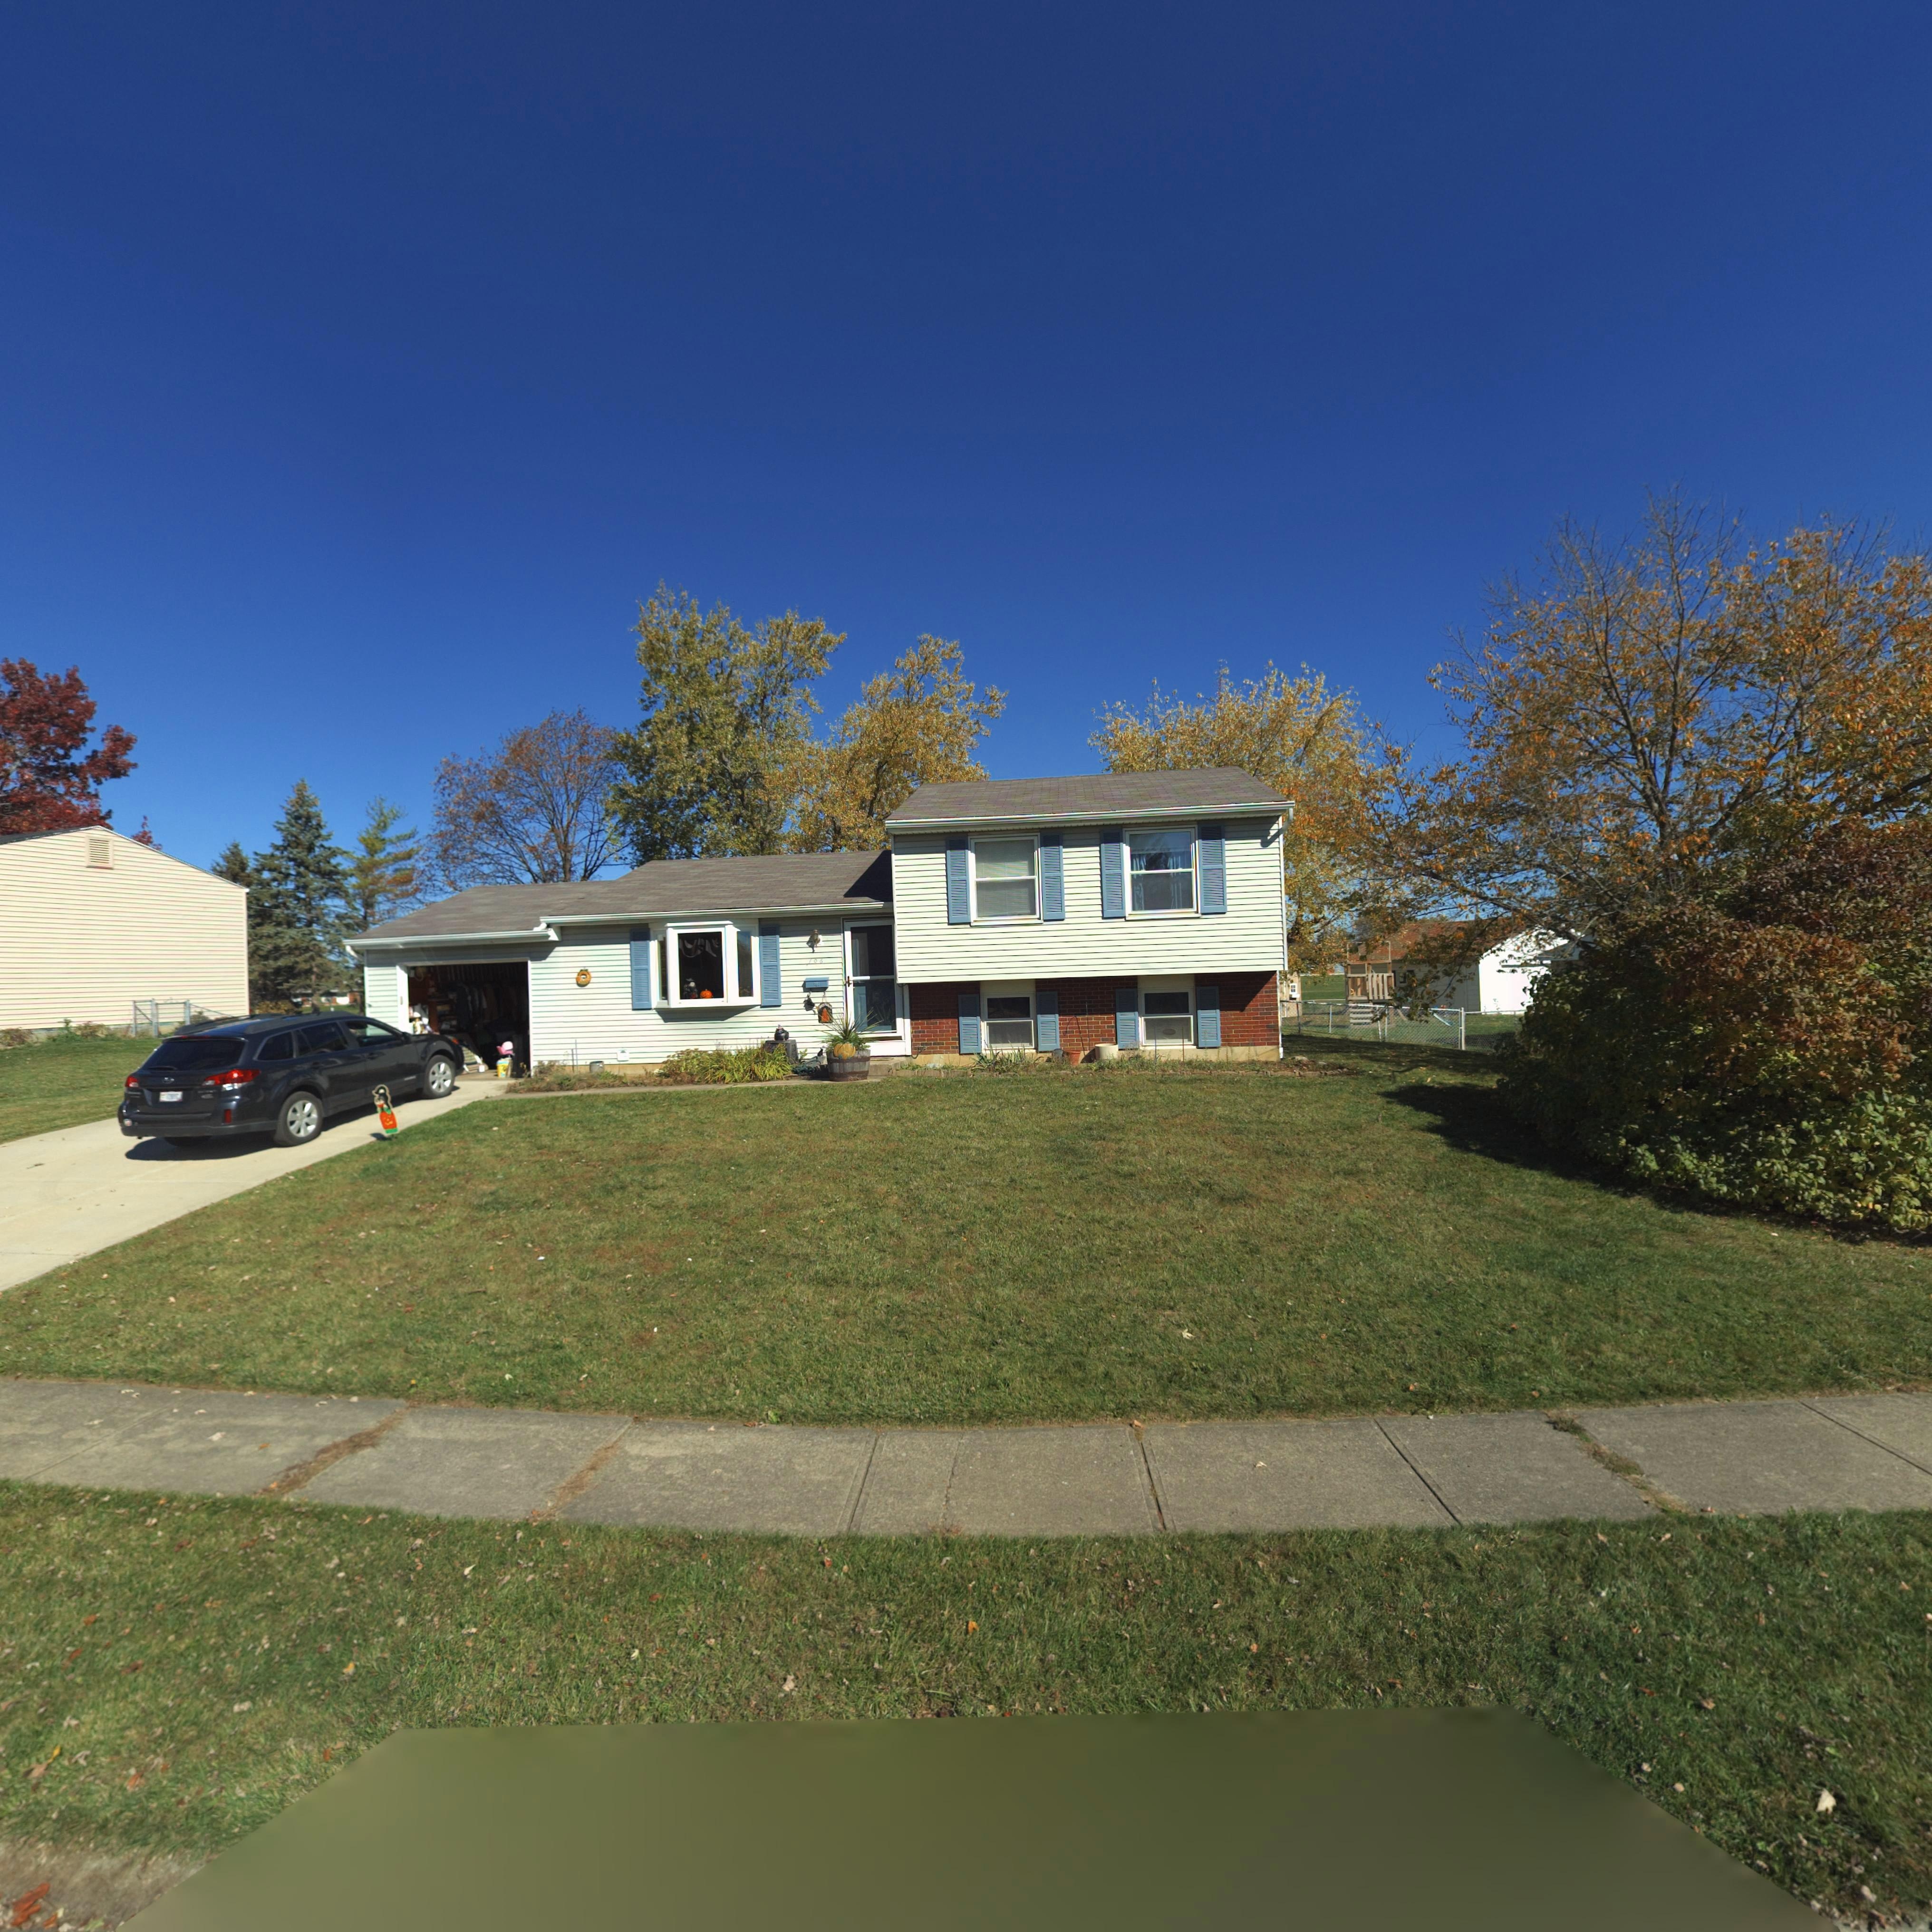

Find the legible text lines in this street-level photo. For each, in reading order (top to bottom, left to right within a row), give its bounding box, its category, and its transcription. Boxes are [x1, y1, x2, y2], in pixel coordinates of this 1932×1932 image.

[808, 957, 823, 965] StreetNumber: 106